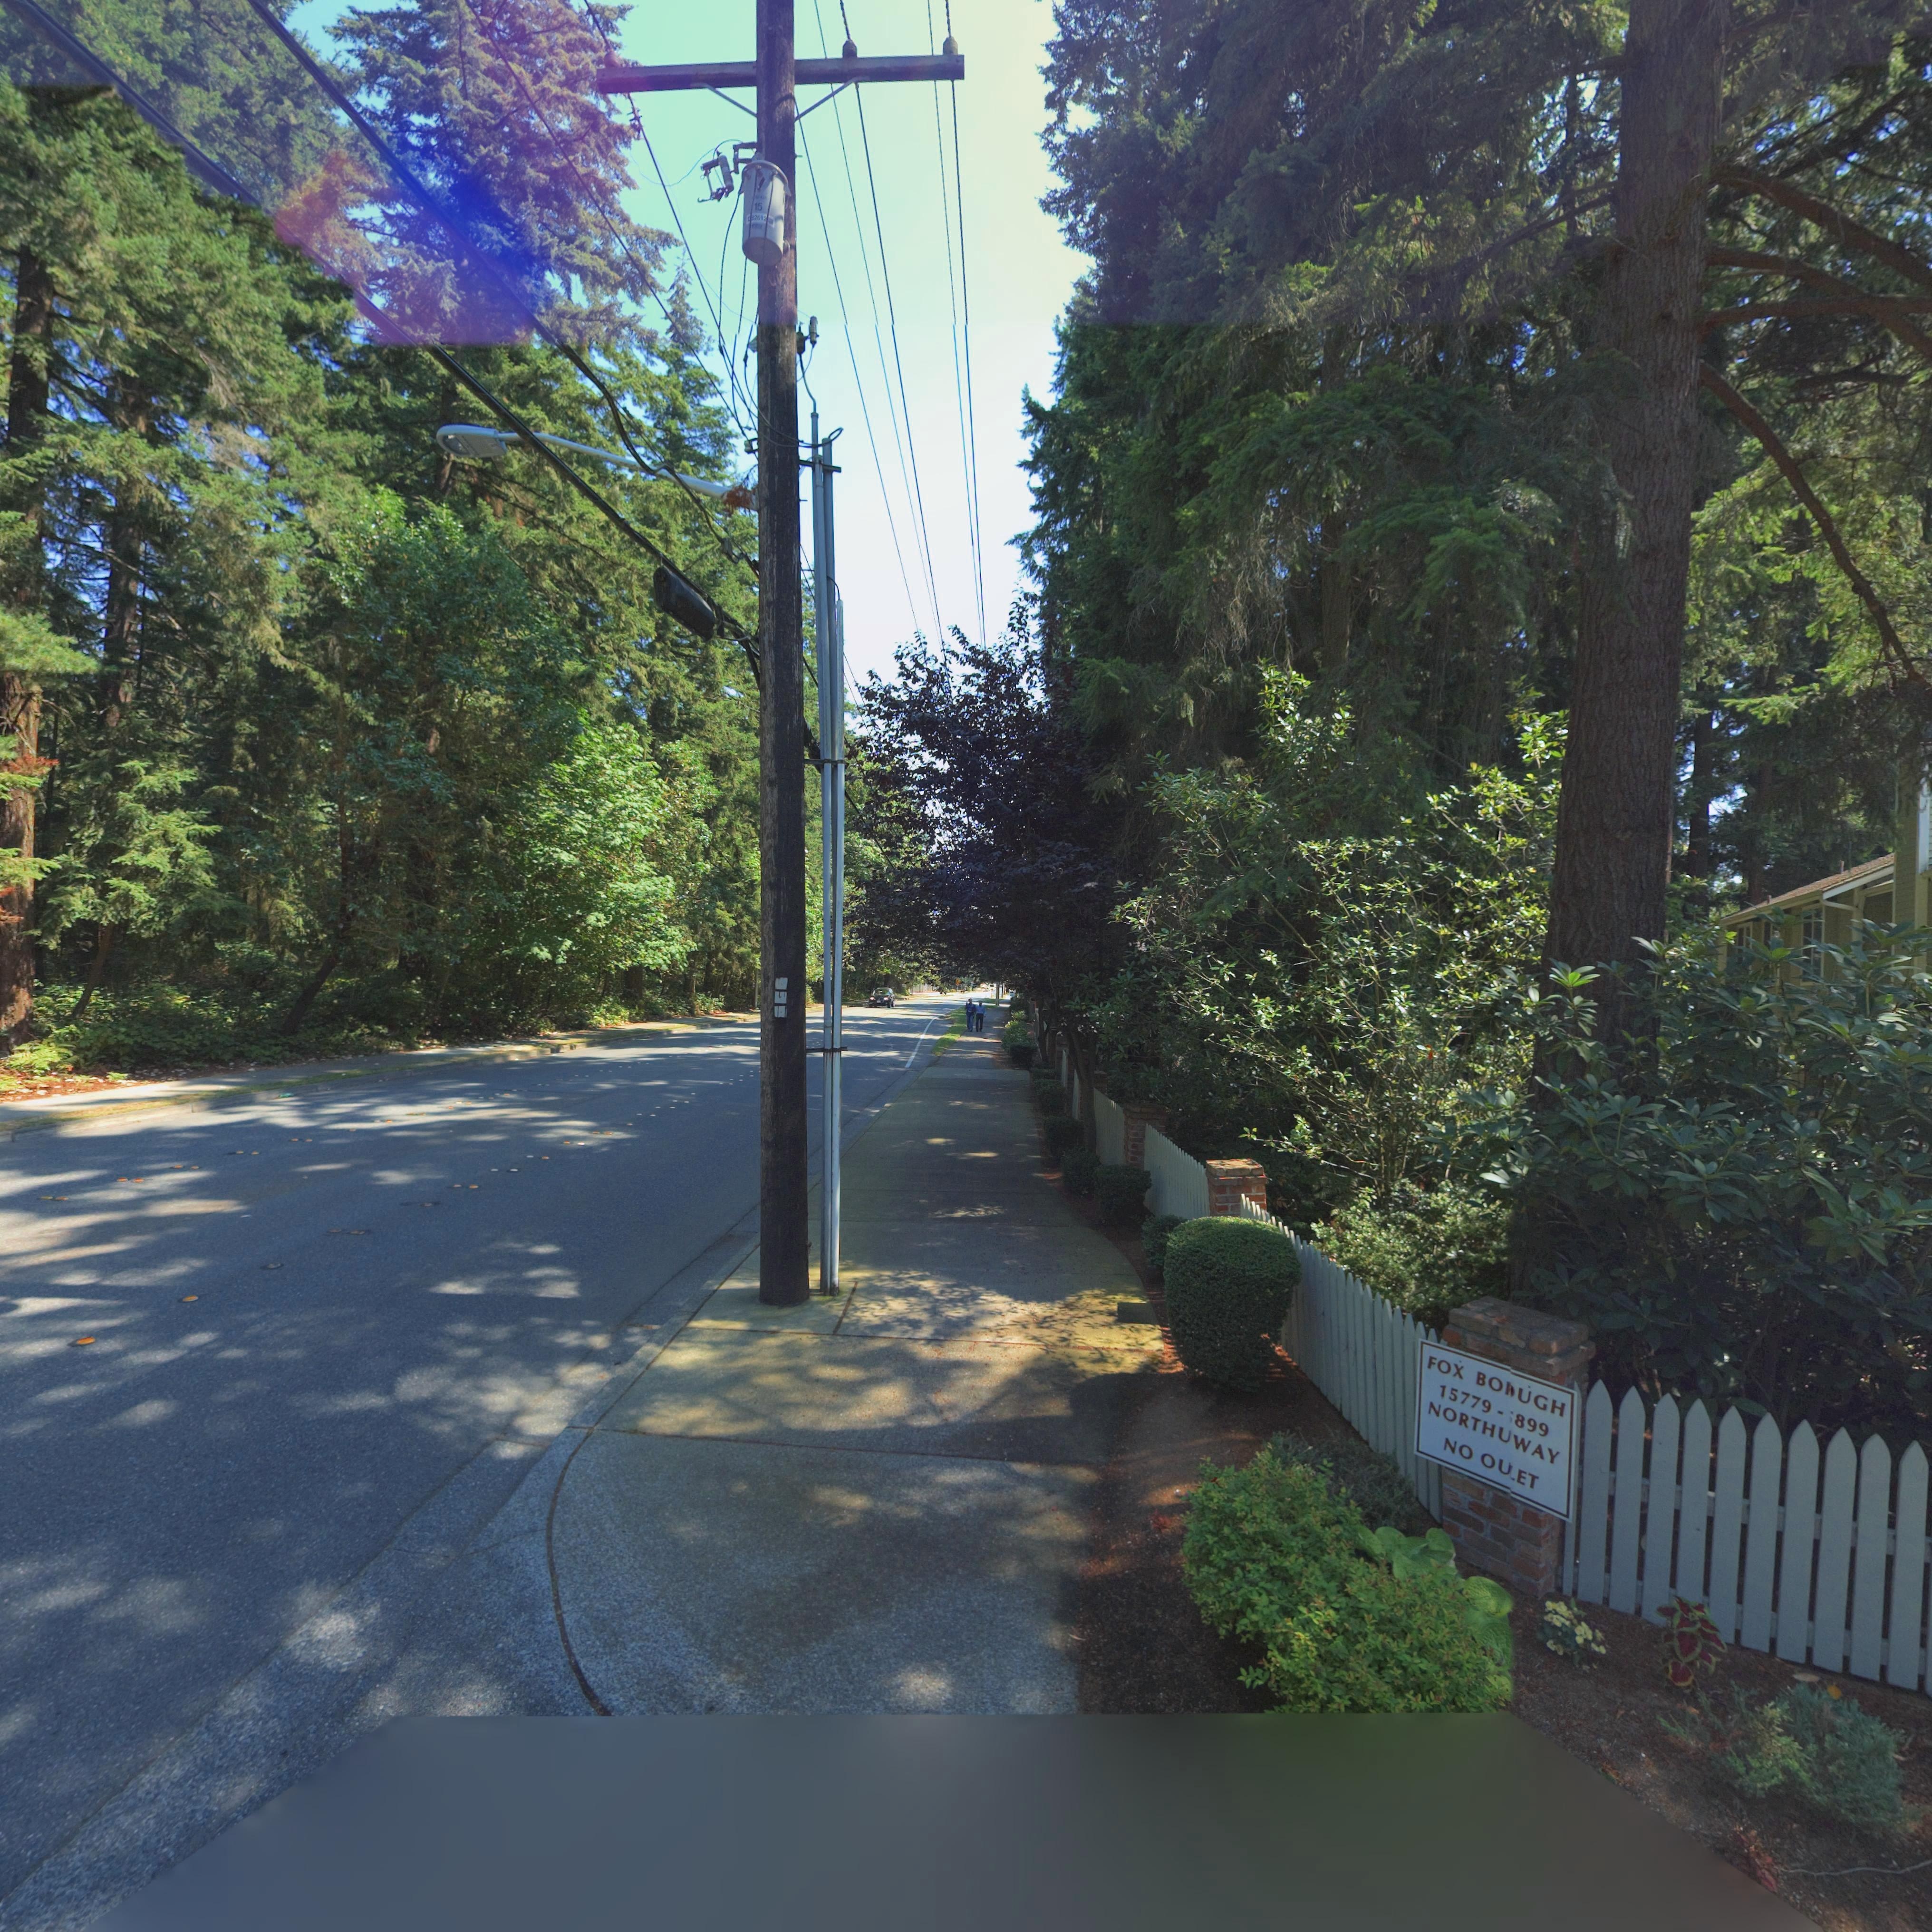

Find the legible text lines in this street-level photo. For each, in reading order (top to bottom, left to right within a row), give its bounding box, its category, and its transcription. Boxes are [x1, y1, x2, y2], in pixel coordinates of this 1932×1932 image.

[1428, 1401, 1559, 1466] BusinessName: NORTHUWAY
[1438, 1382, 1551, 1439] StreetNumberRange: 15779-*899